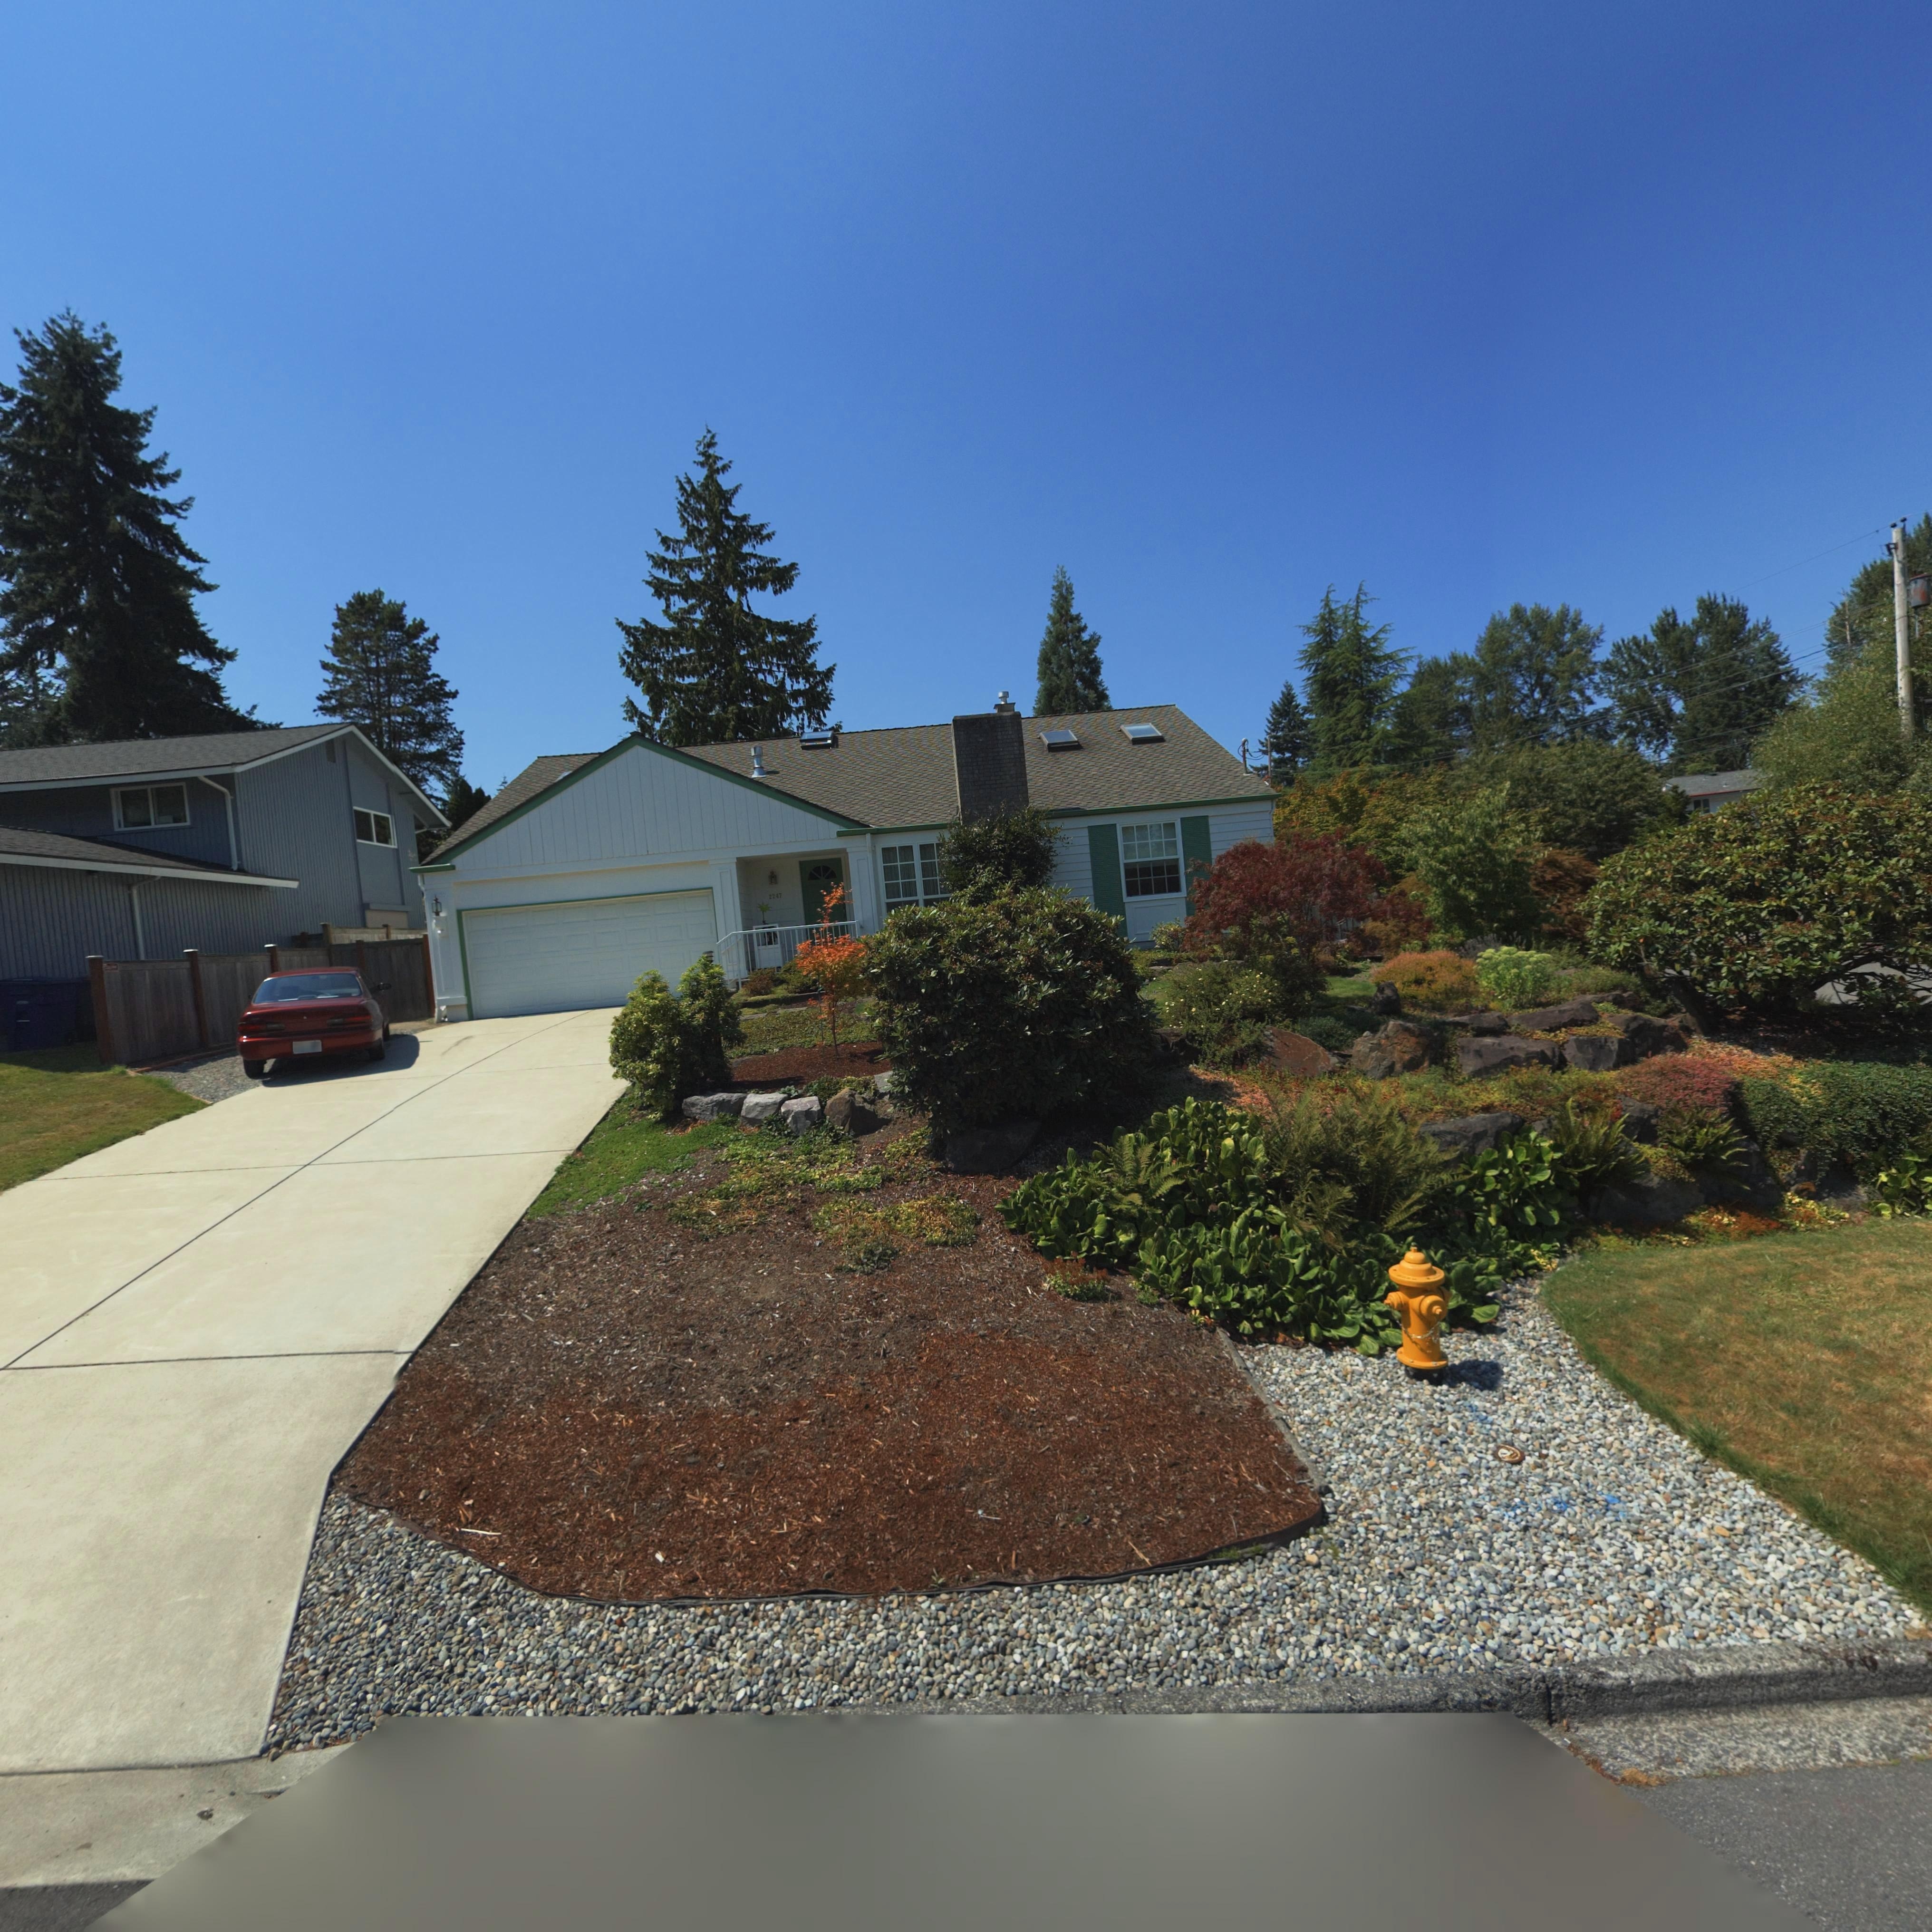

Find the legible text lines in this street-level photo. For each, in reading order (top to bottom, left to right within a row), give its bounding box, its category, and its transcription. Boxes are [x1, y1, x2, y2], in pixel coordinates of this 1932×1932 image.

[766, 892, 783, 901] StreetNumber: 2247